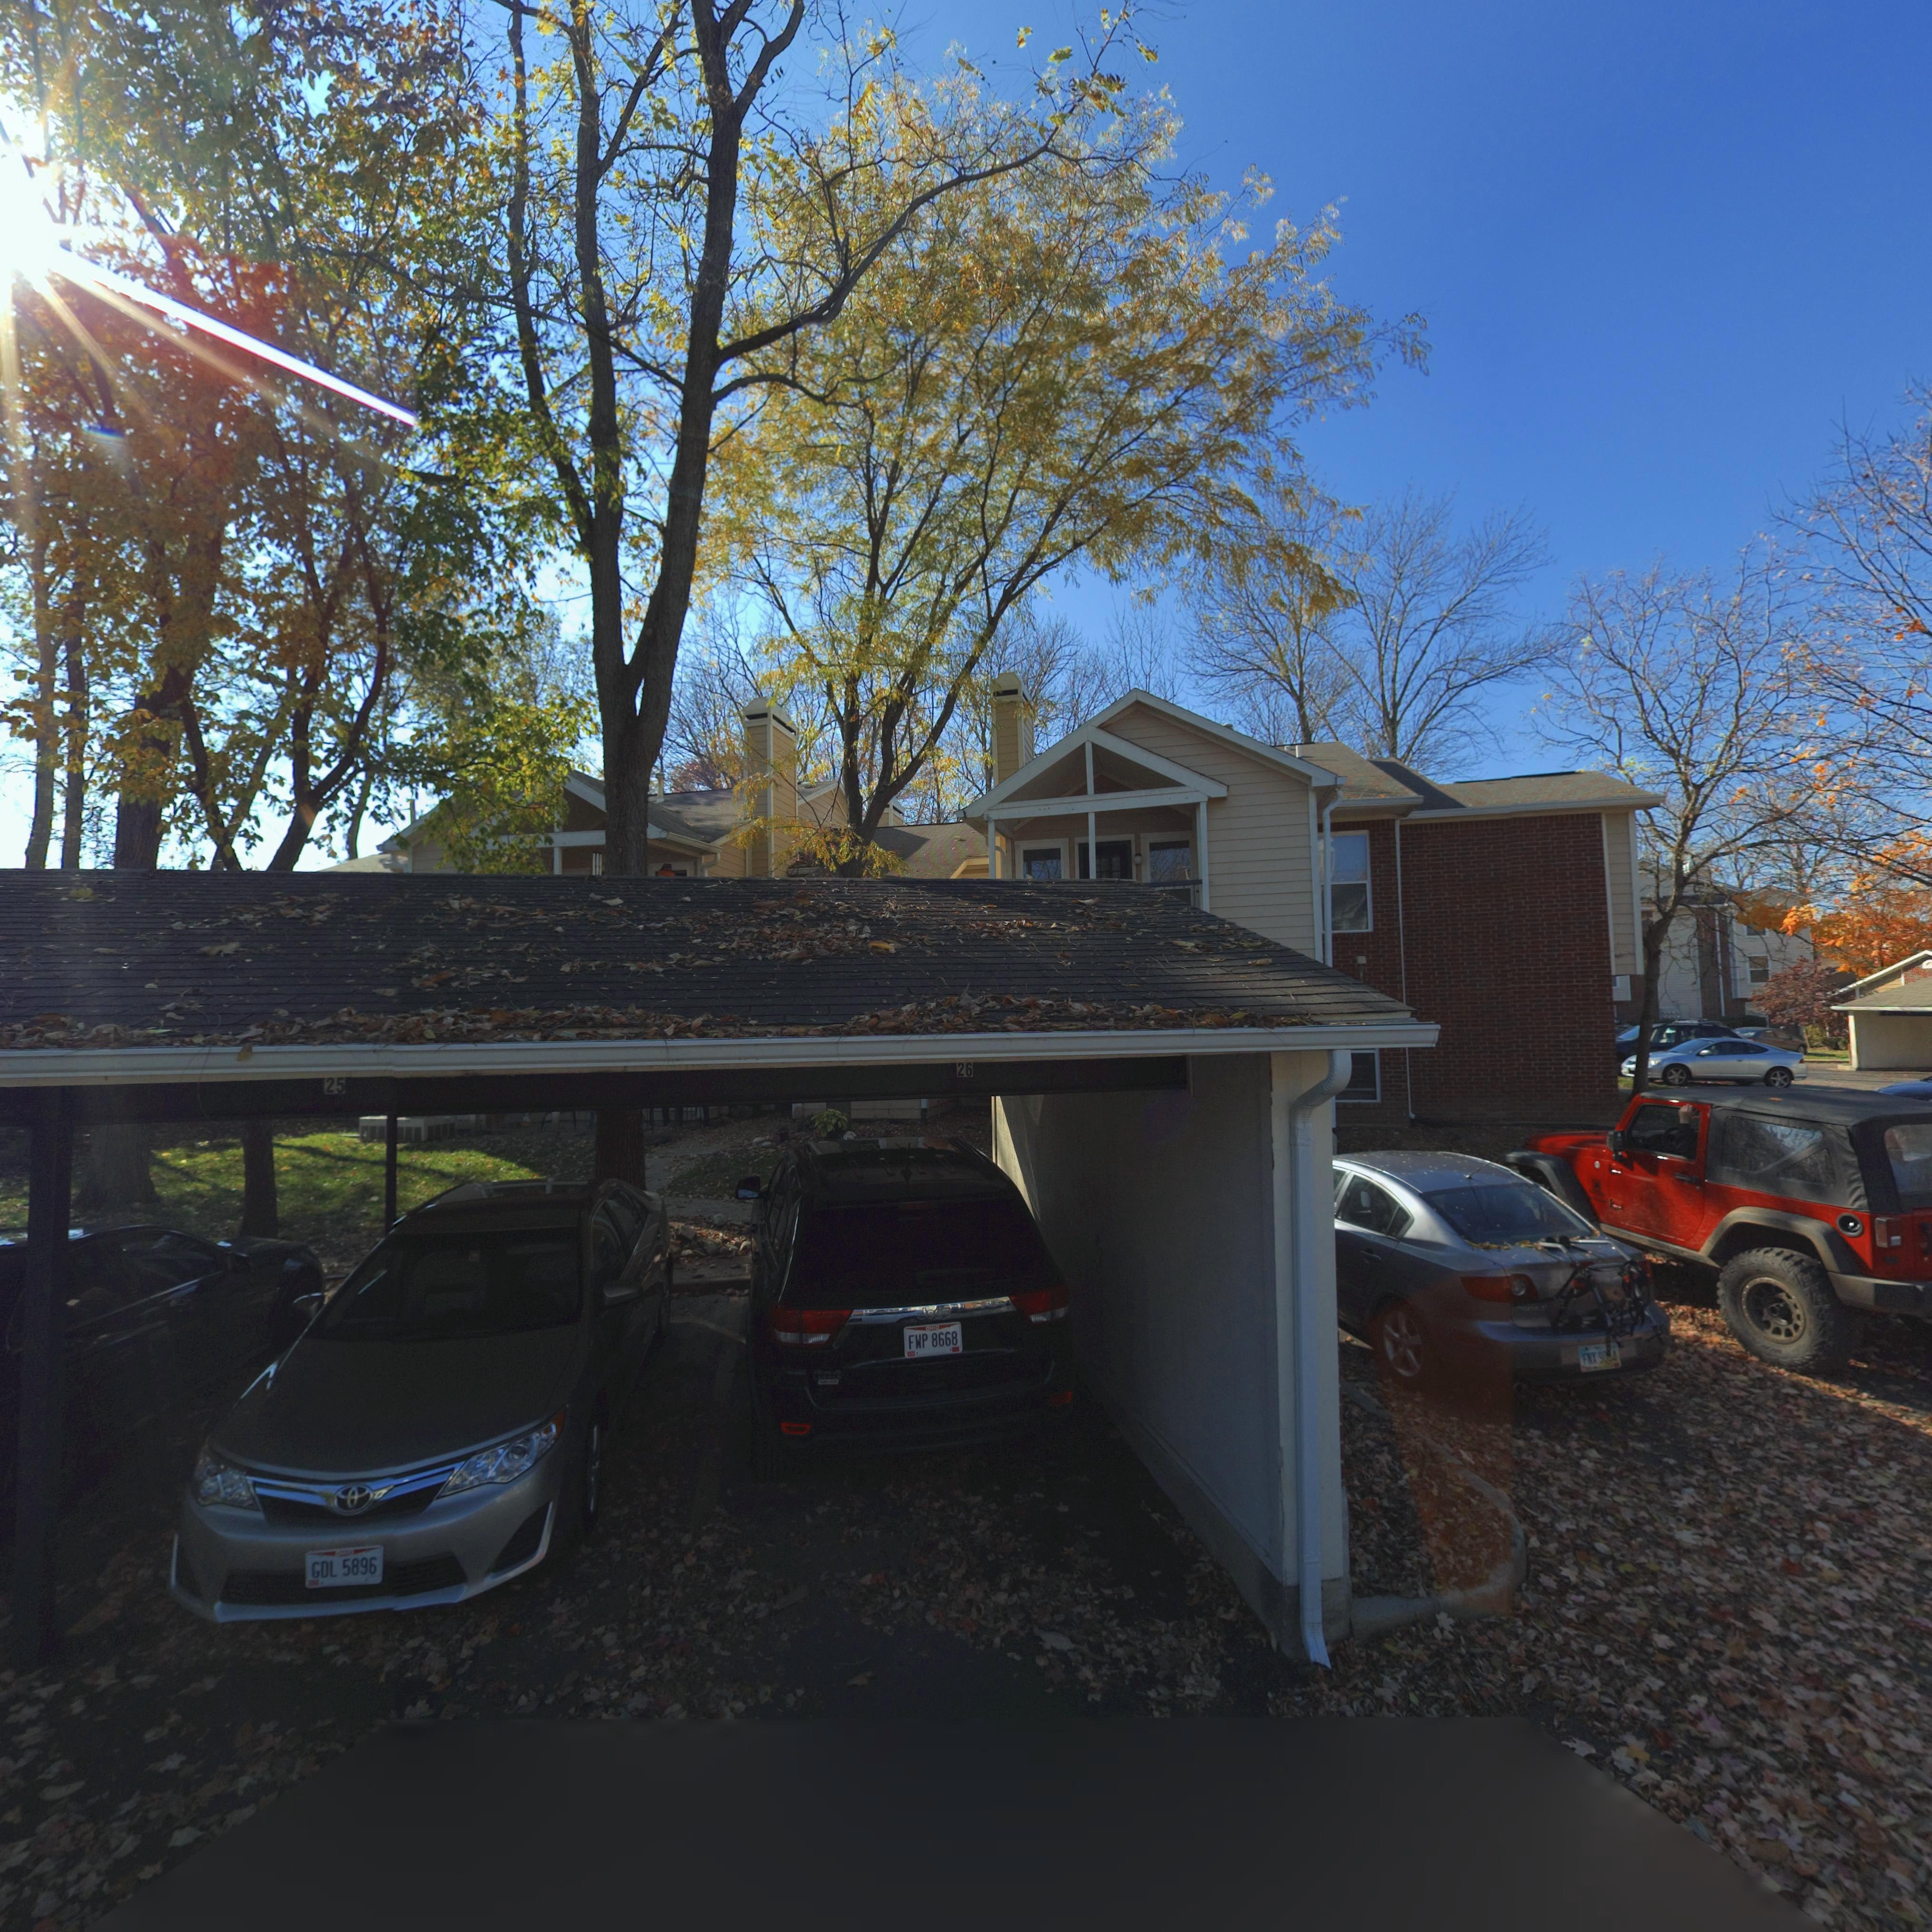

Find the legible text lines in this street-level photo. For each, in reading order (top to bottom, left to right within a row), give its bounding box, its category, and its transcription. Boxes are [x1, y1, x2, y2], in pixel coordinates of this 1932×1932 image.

[957, 1062, 973, 1078] StreetNumber: 26
[324, 1076, 346, 1095] StreetNumber: 25
[925, 1324, 940, 1332] None: OHIO
[907, 1330, 958, 1351] None: FWP 8668
[1580, 1348, 1619, 1368] None: F** 9**4
[310, 1555, 378, 1581] None: GDL 5896